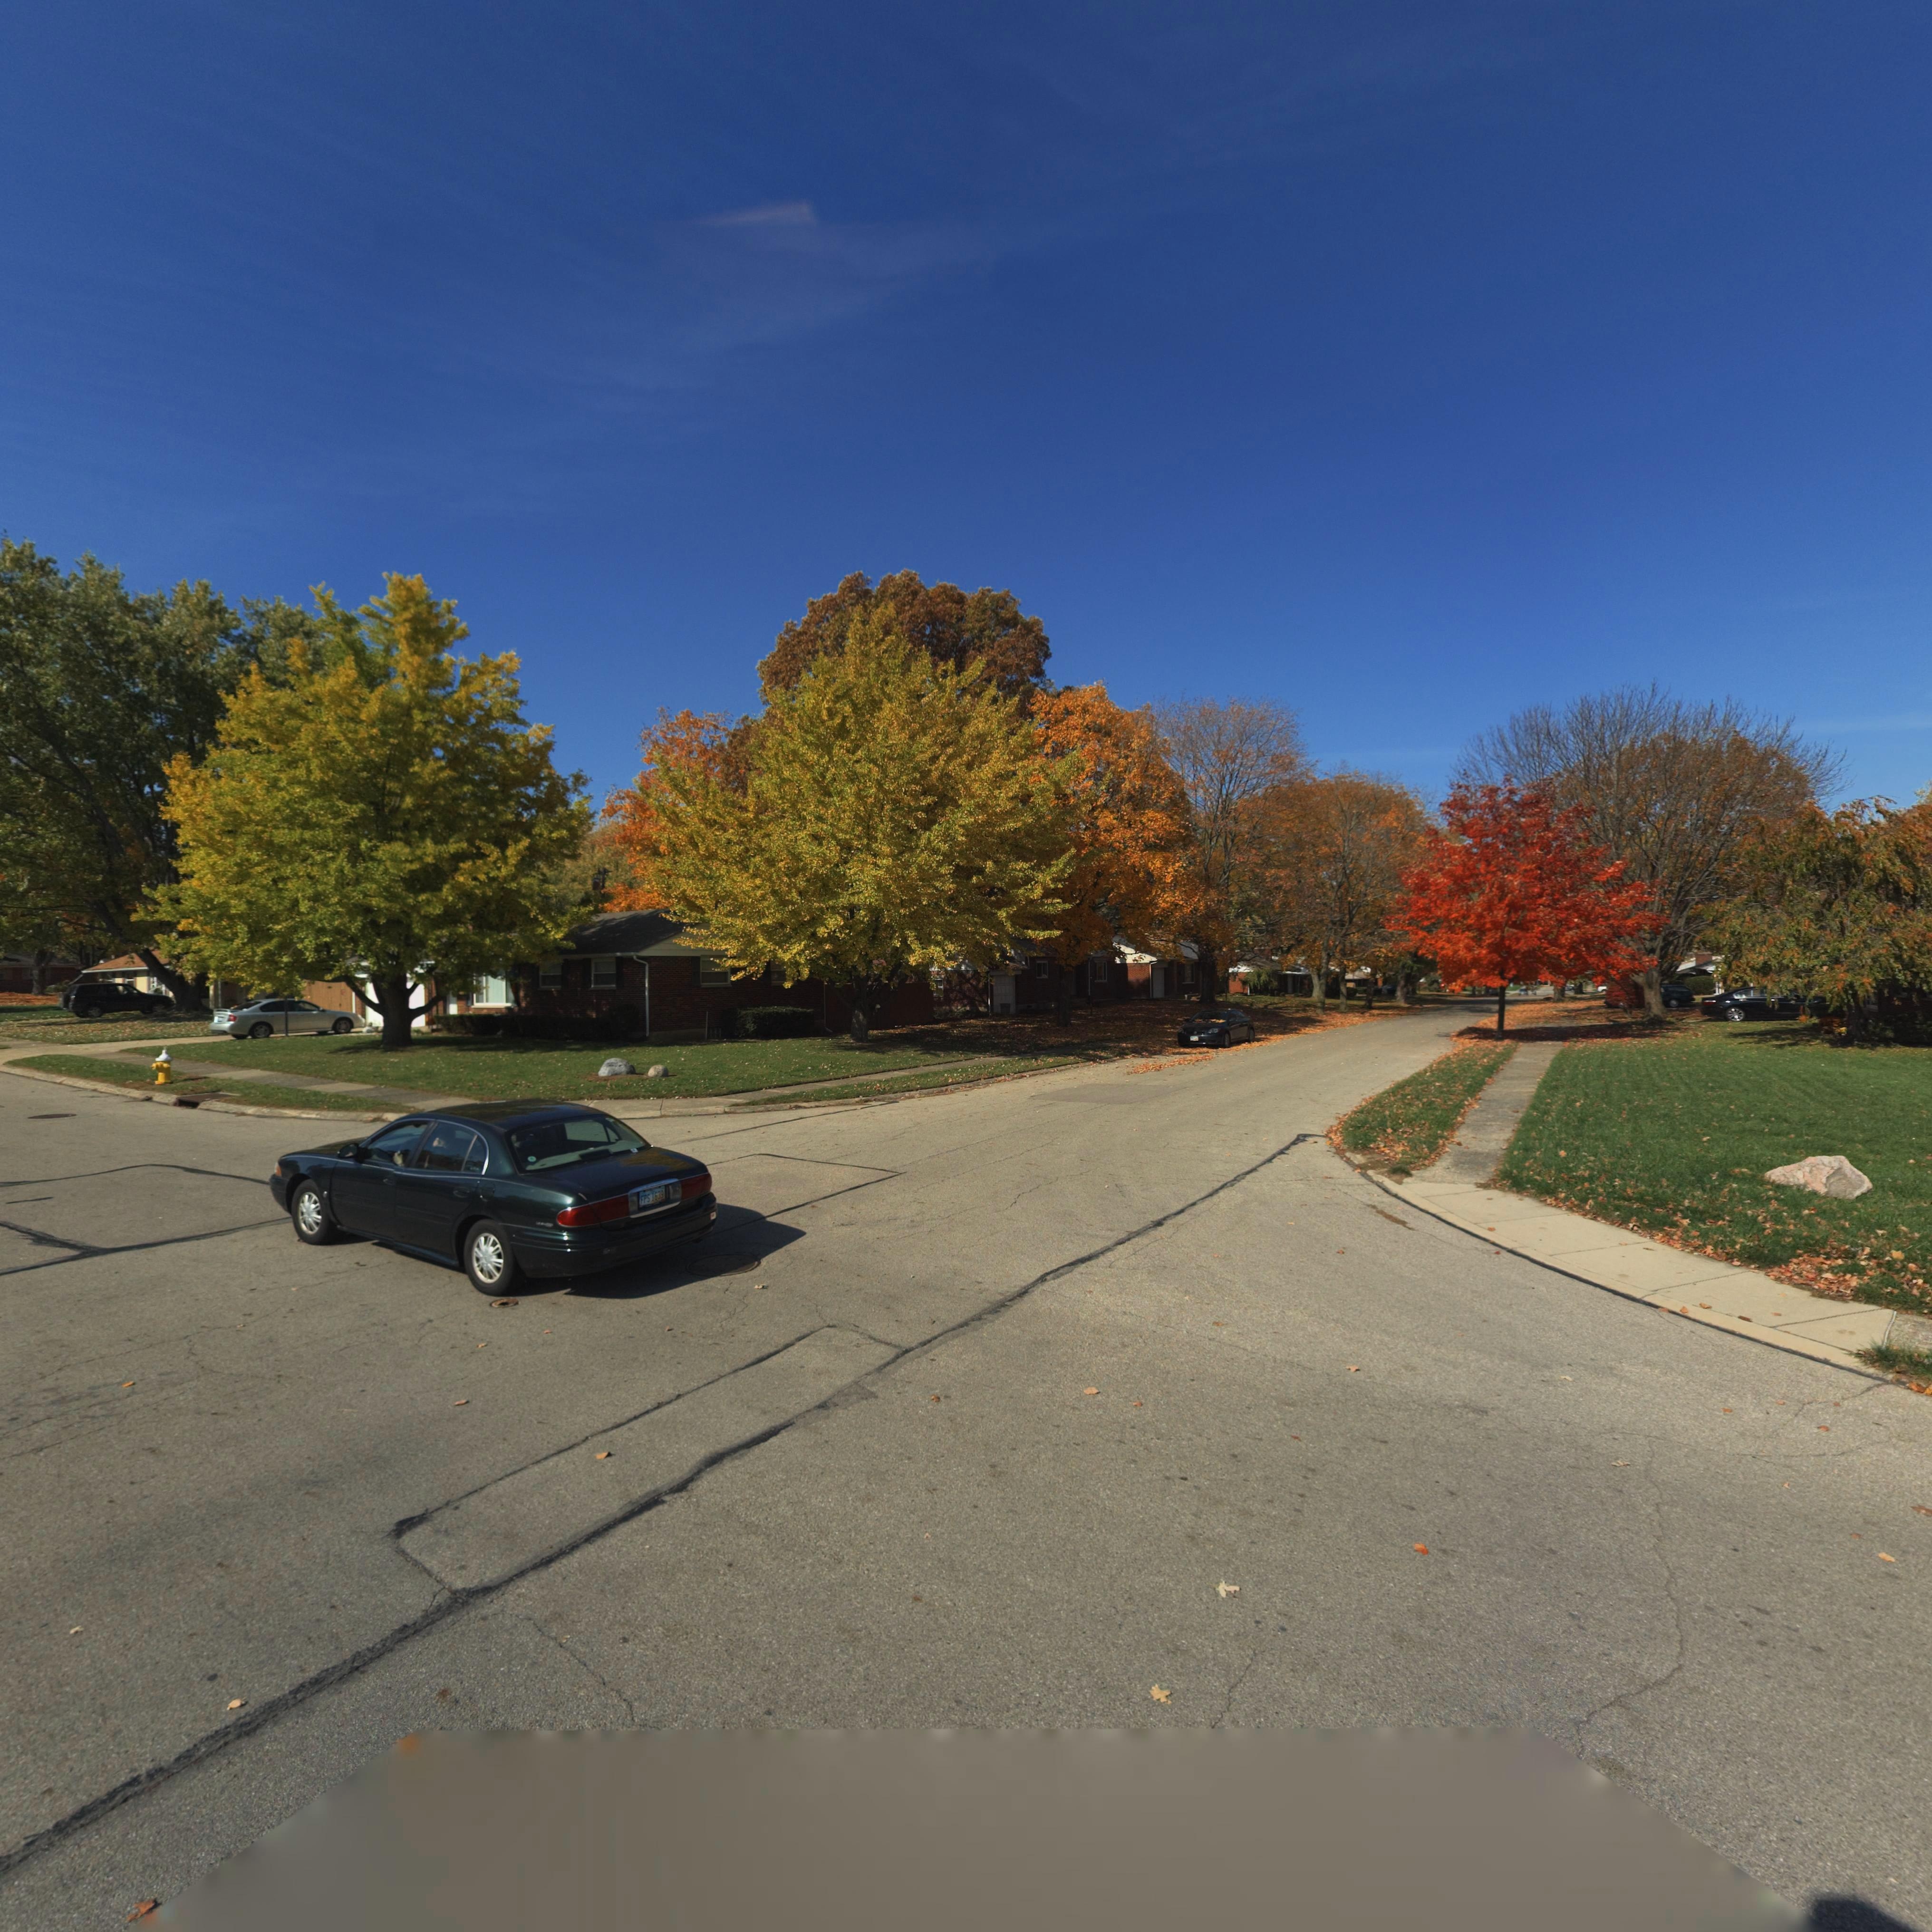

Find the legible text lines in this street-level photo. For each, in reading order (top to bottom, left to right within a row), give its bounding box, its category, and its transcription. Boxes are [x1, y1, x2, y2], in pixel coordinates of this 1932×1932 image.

[639, 1188, 665, 1206] None: FPS 1633